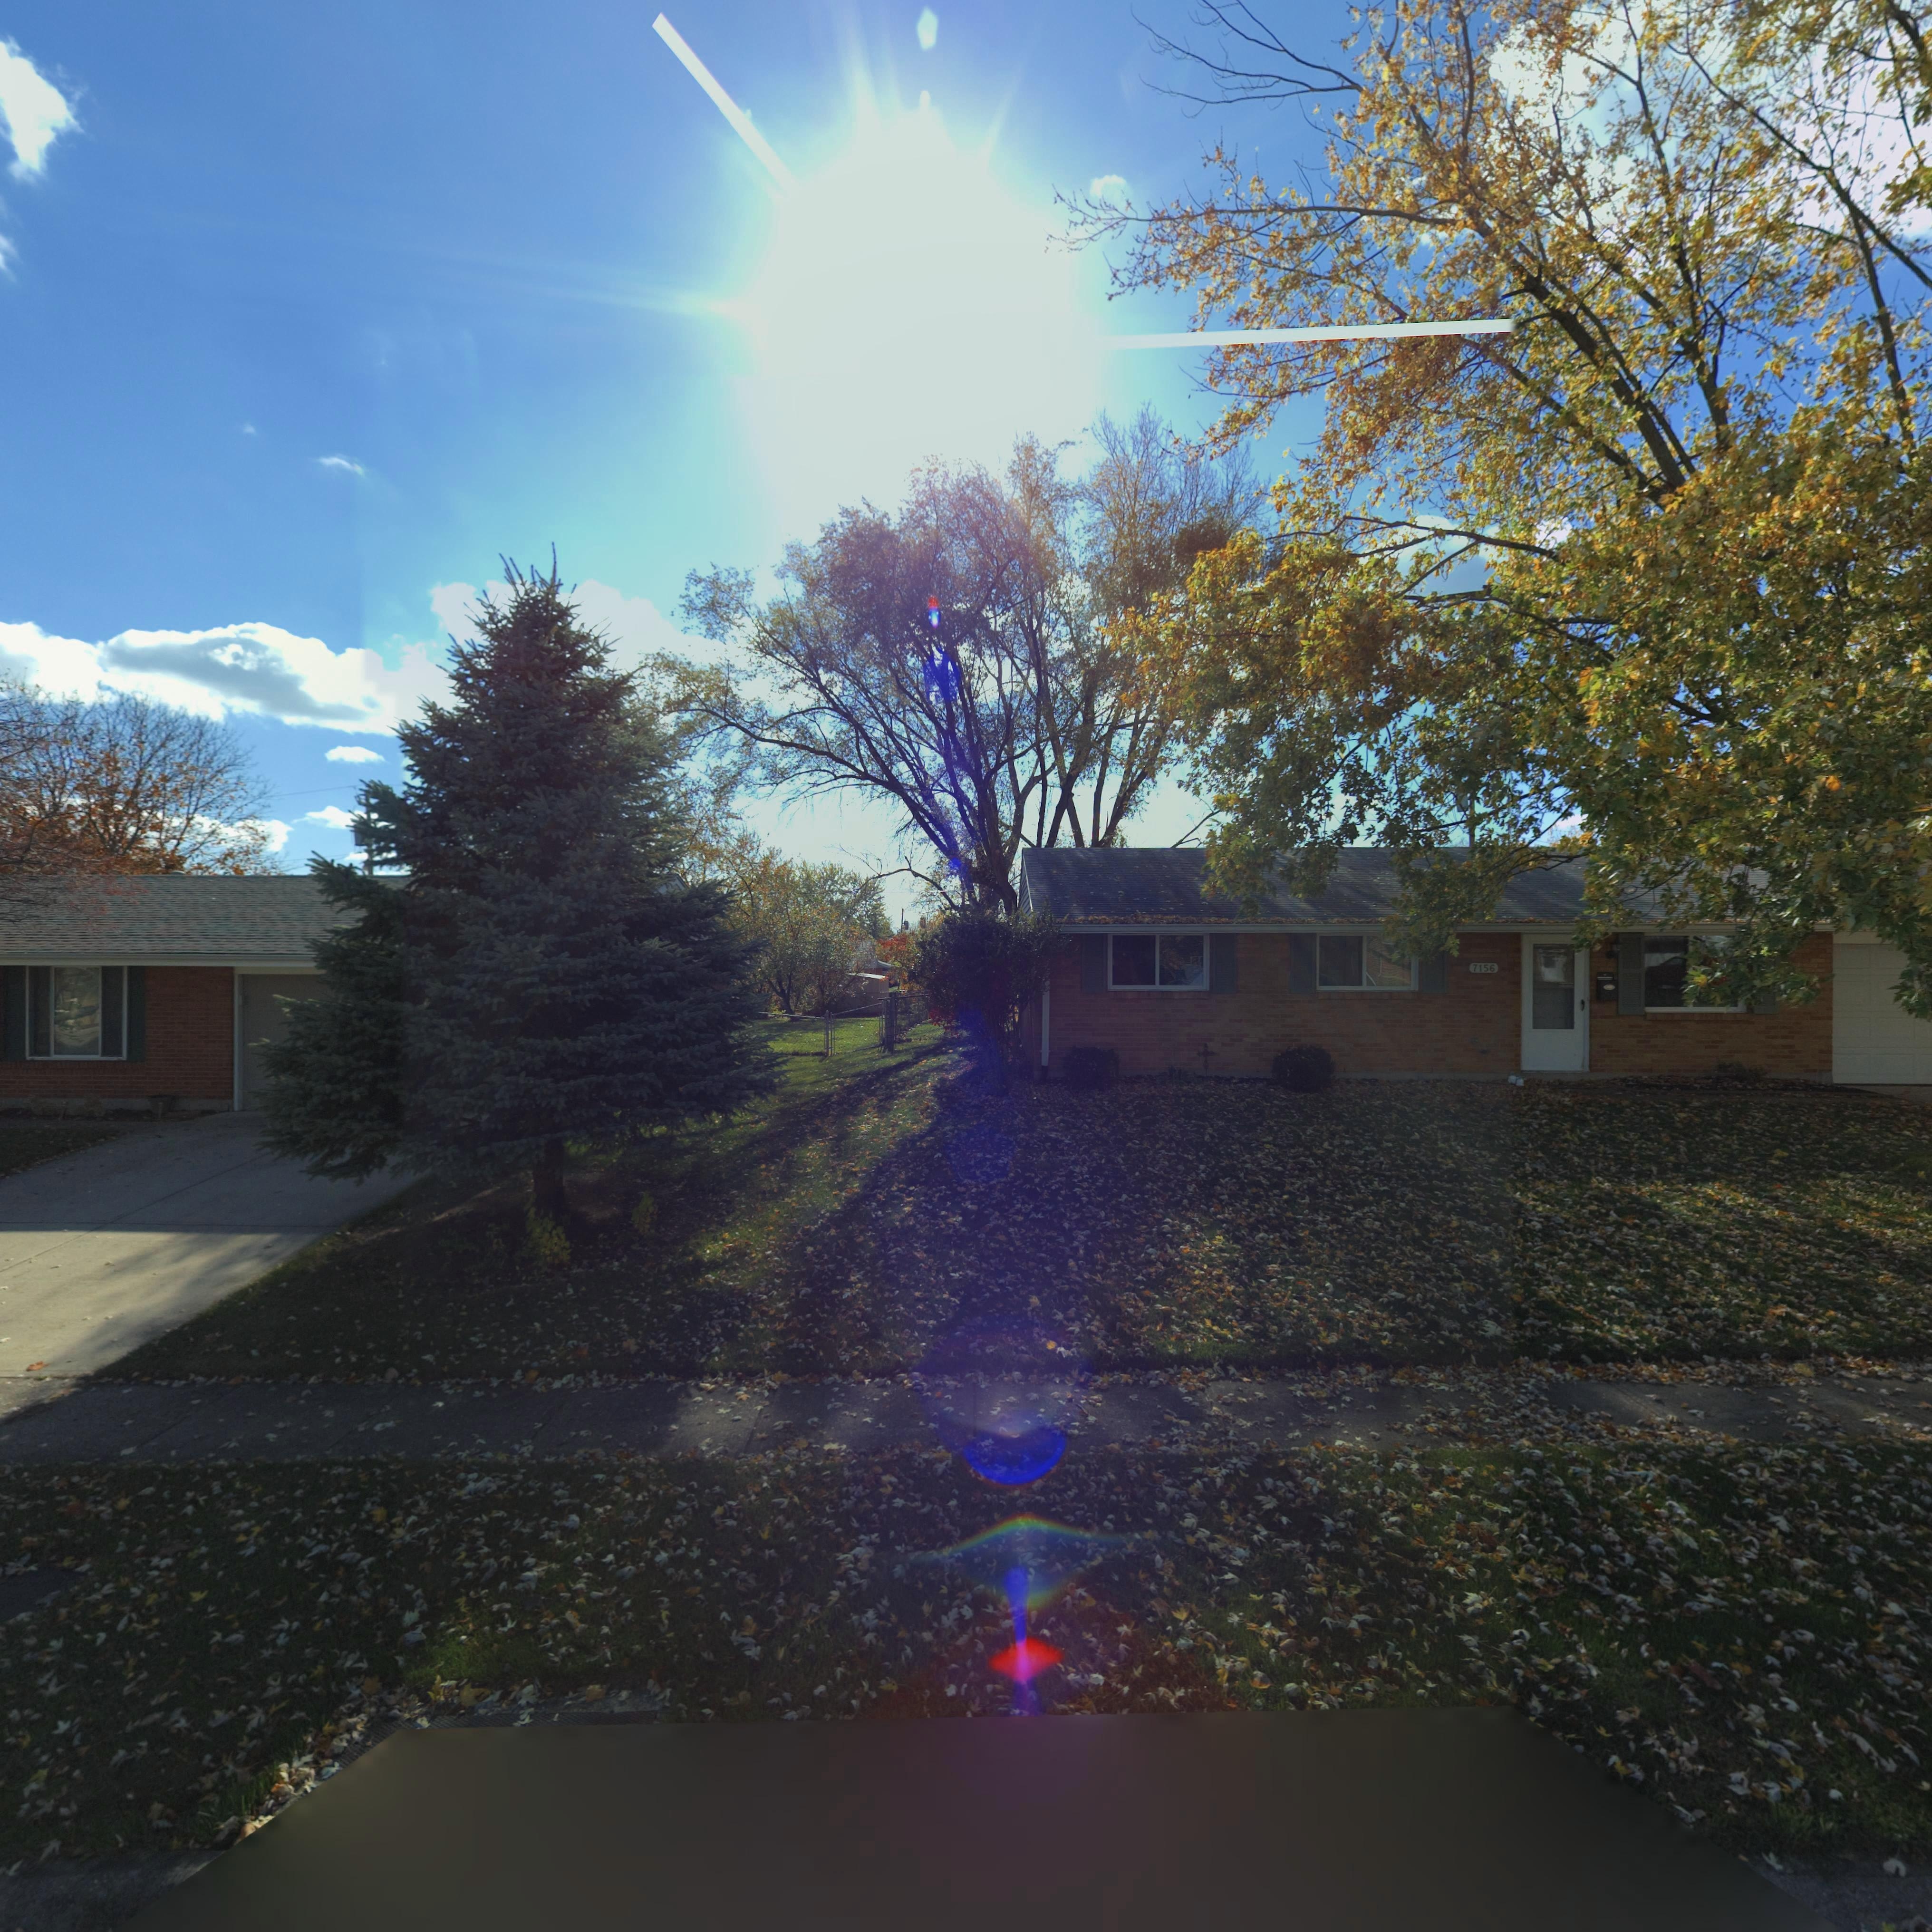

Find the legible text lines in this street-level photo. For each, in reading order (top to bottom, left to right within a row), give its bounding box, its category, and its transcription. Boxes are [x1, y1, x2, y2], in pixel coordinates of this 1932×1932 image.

[1472, 963, 1497, 973] StreetNumber: 7156